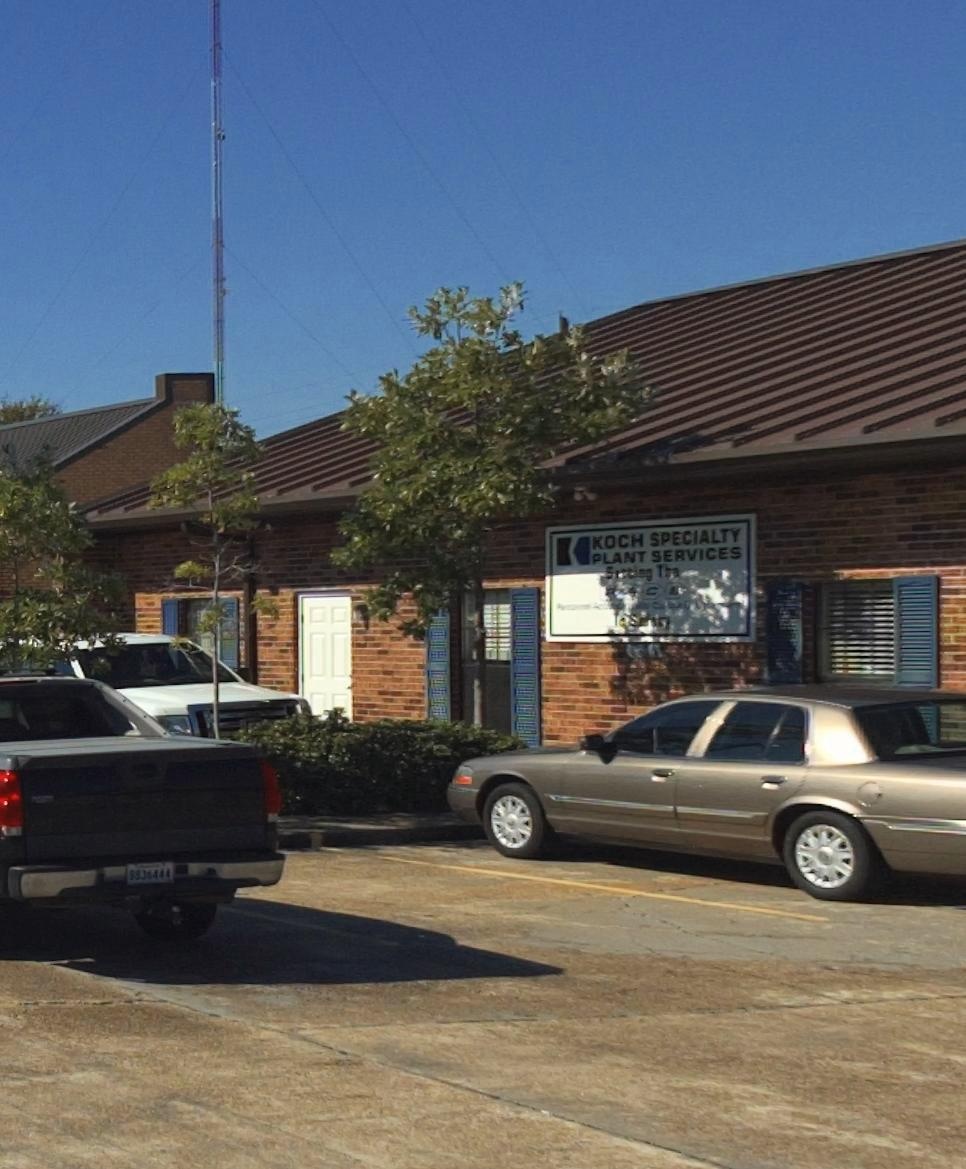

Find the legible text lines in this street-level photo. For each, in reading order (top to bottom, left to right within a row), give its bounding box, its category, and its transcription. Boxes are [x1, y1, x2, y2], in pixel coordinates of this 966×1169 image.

[590, 524, 745, 553] BusinessName: KOCH SPECIALTY
[590, 544, 745, 567] BusinessName: PLANT SERVICES
[128, 866, 173, 883] None: *834444